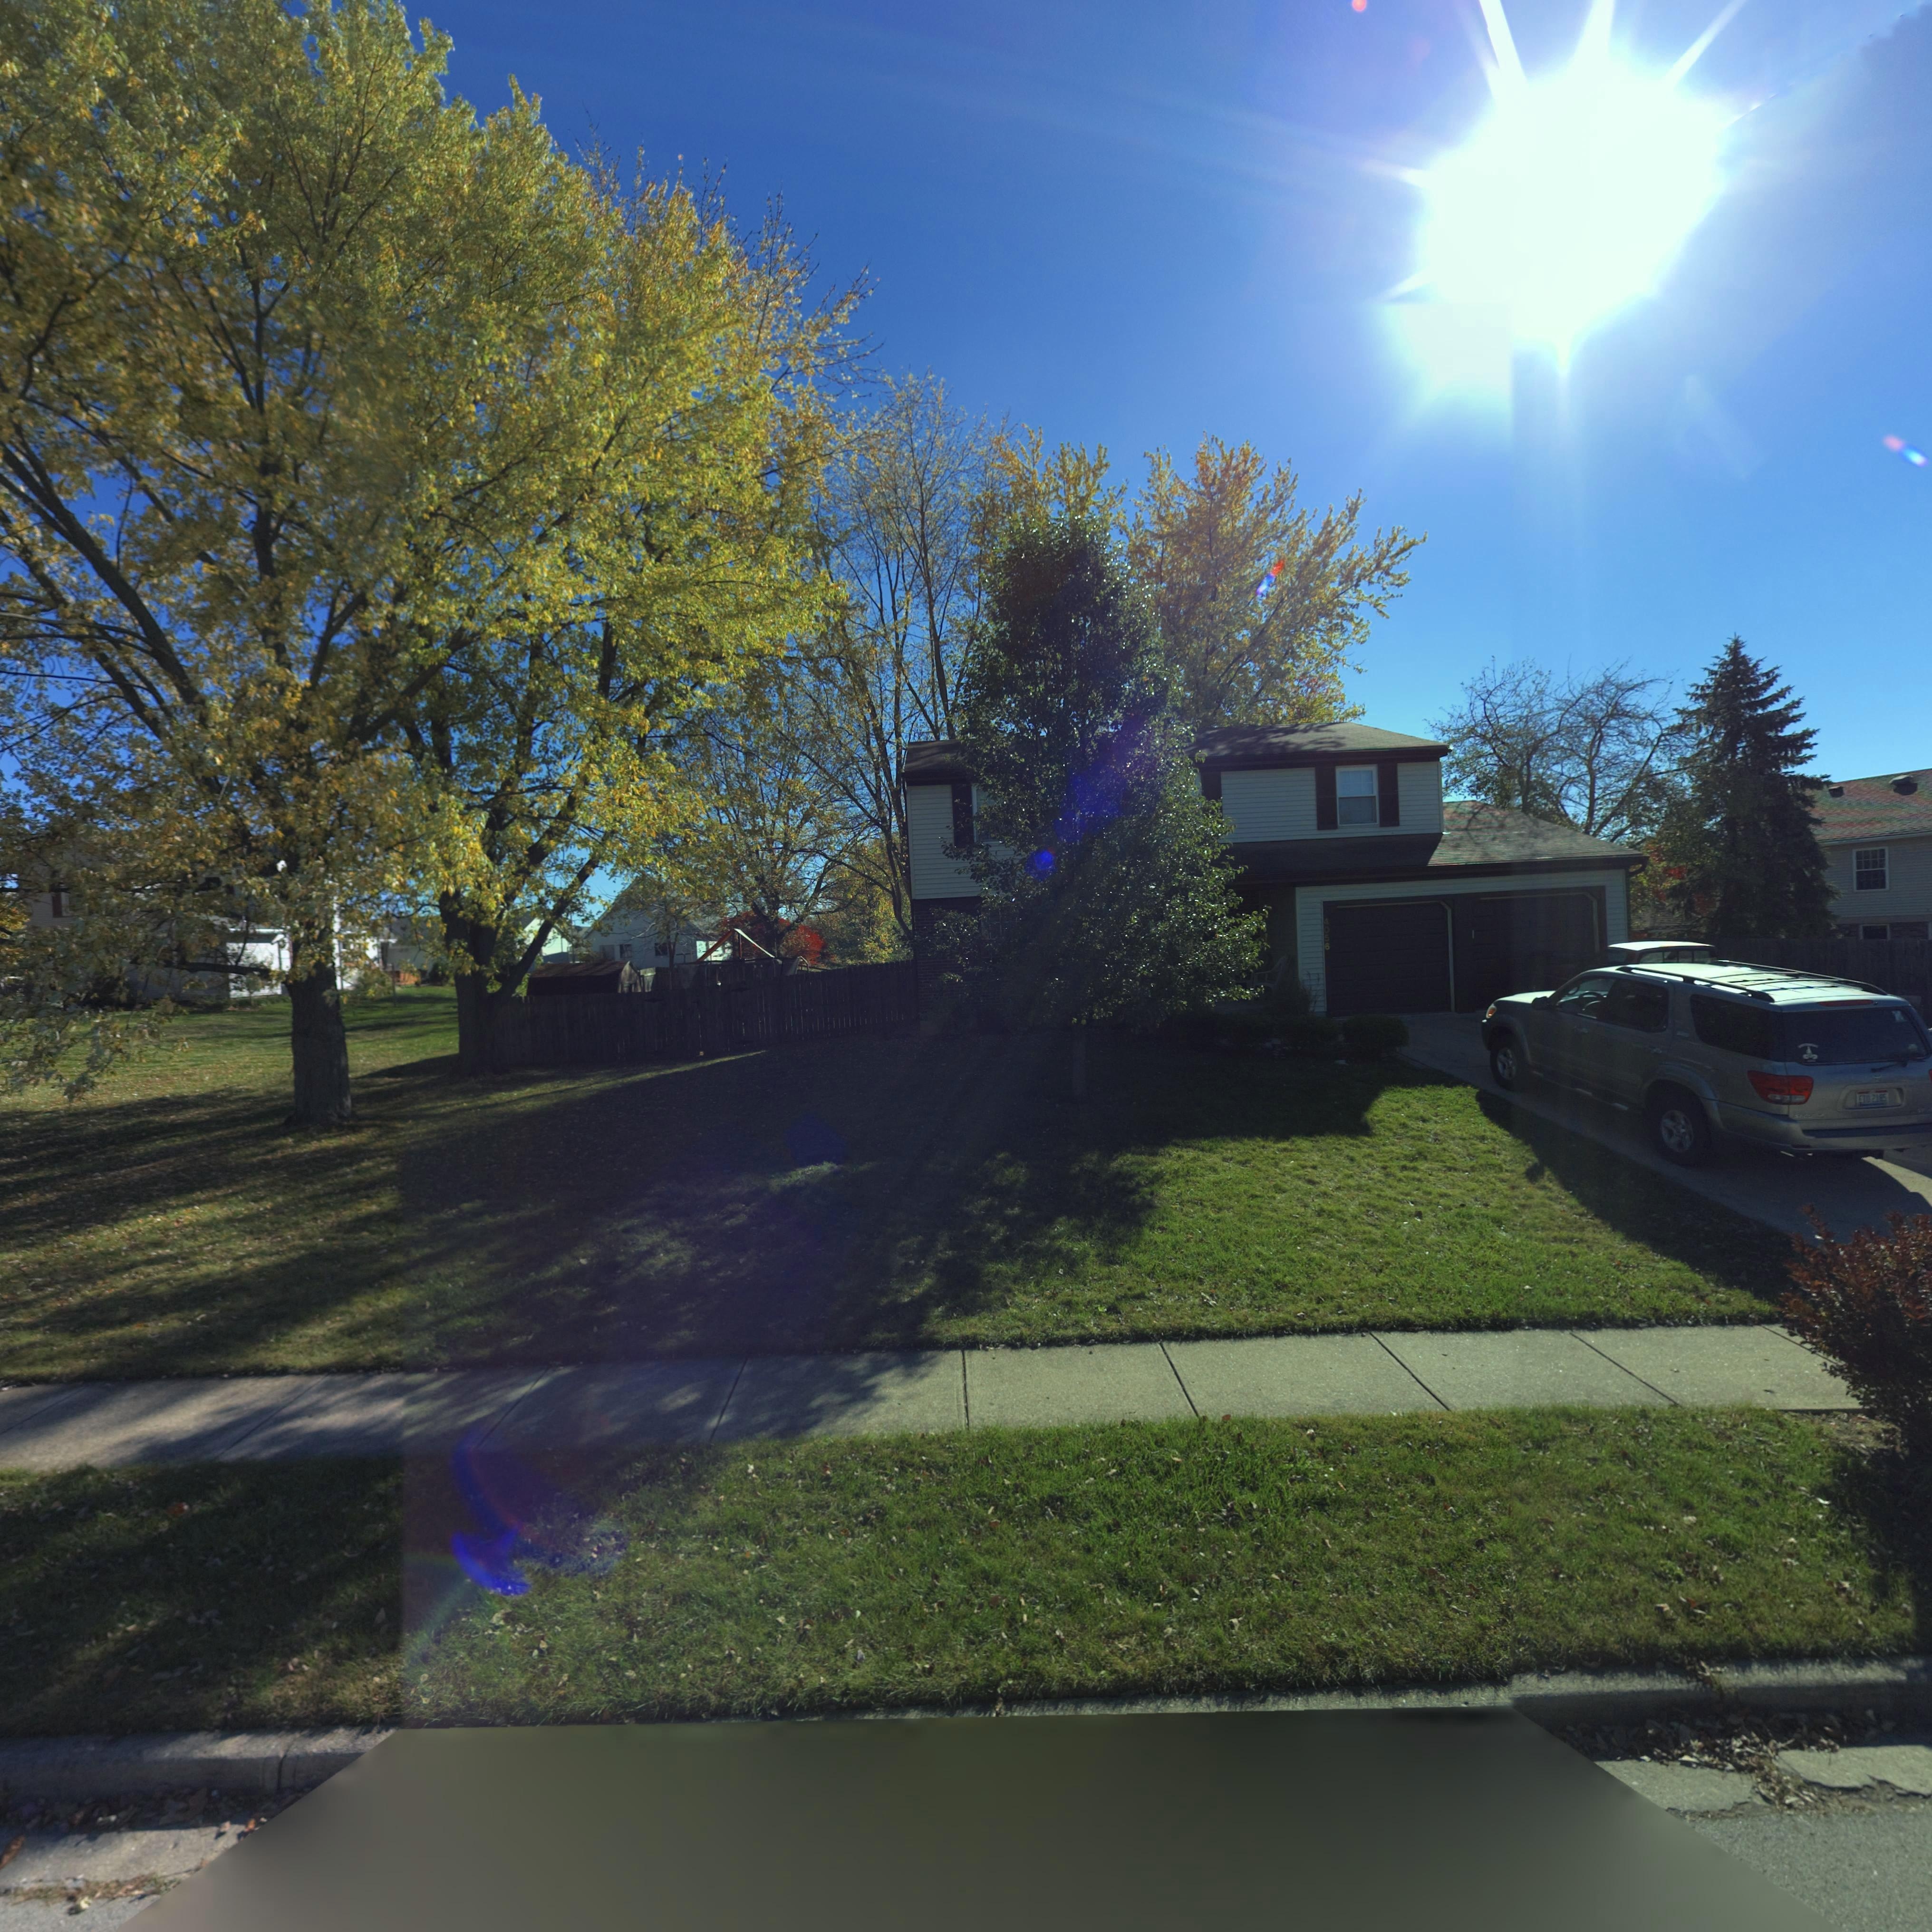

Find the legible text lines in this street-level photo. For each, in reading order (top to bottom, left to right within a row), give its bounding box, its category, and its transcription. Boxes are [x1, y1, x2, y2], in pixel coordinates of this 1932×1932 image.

[1323, 917, 1331, 951] StreetNumber: 4056